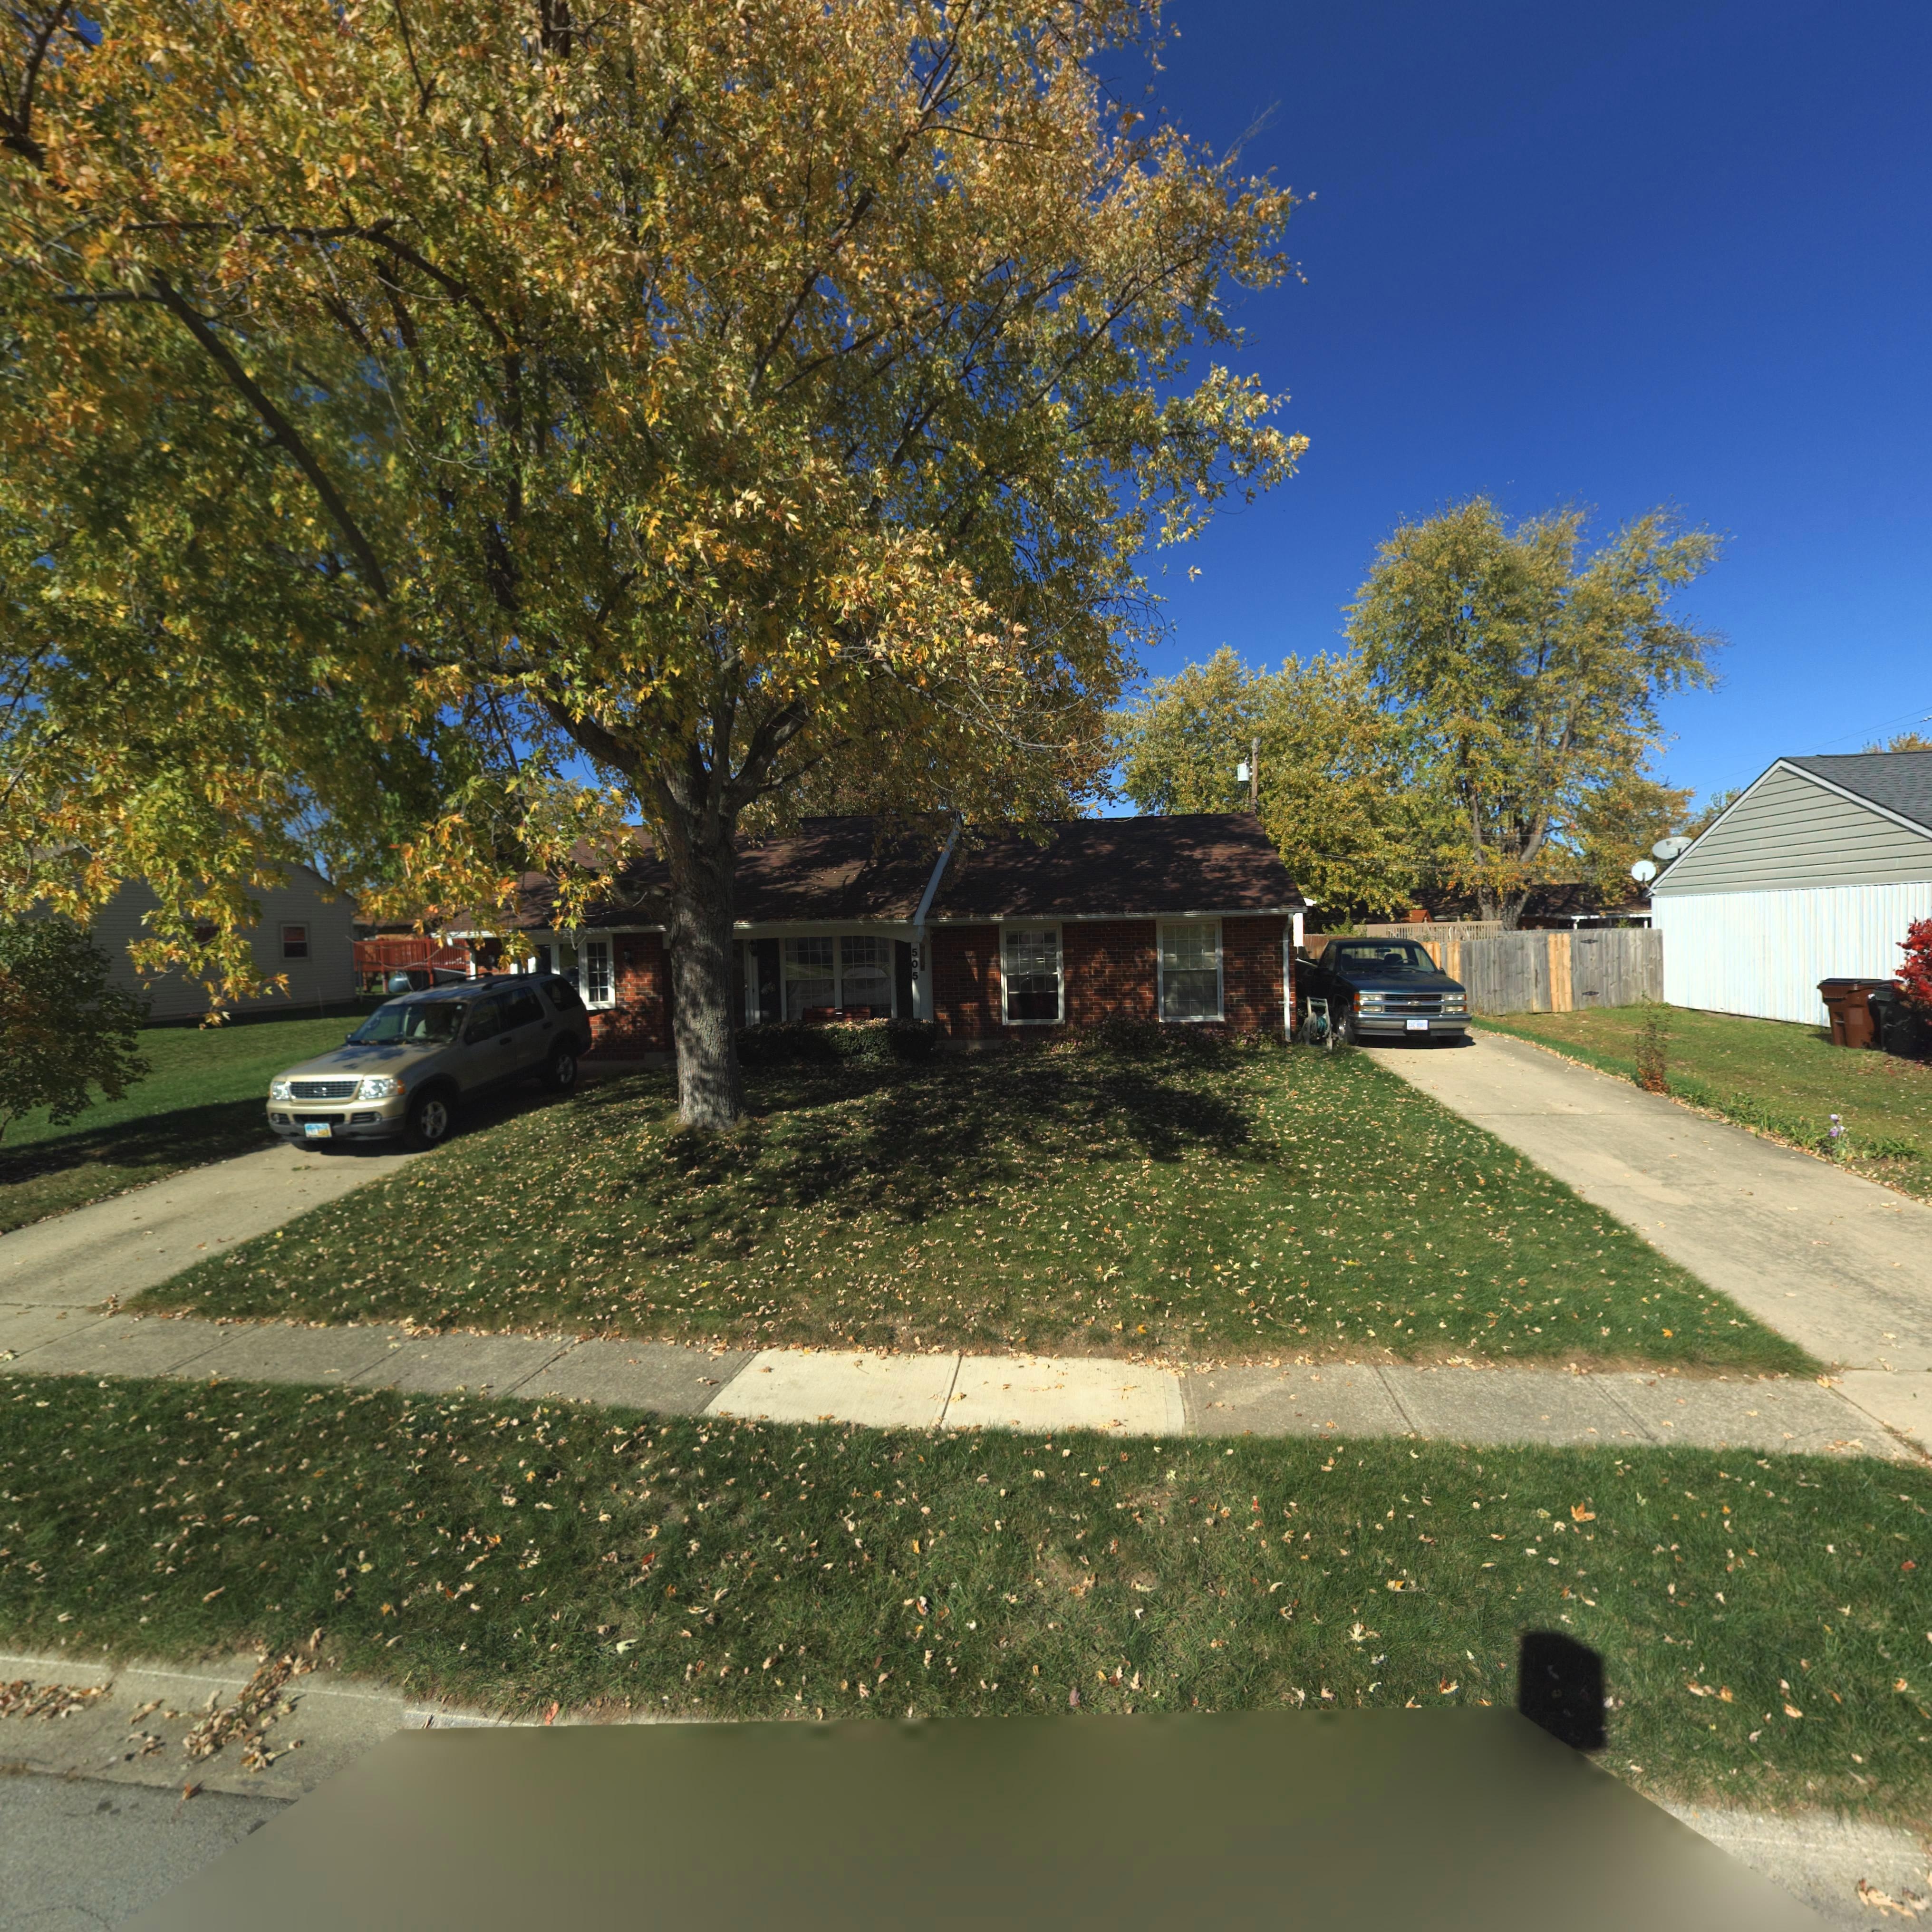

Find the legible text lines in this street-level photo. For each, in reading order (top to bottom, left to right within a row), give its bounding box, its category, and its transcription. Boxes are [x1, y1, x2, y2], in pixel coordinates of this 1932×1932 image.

[911, 947, 918, 980] StreetNumber: 505